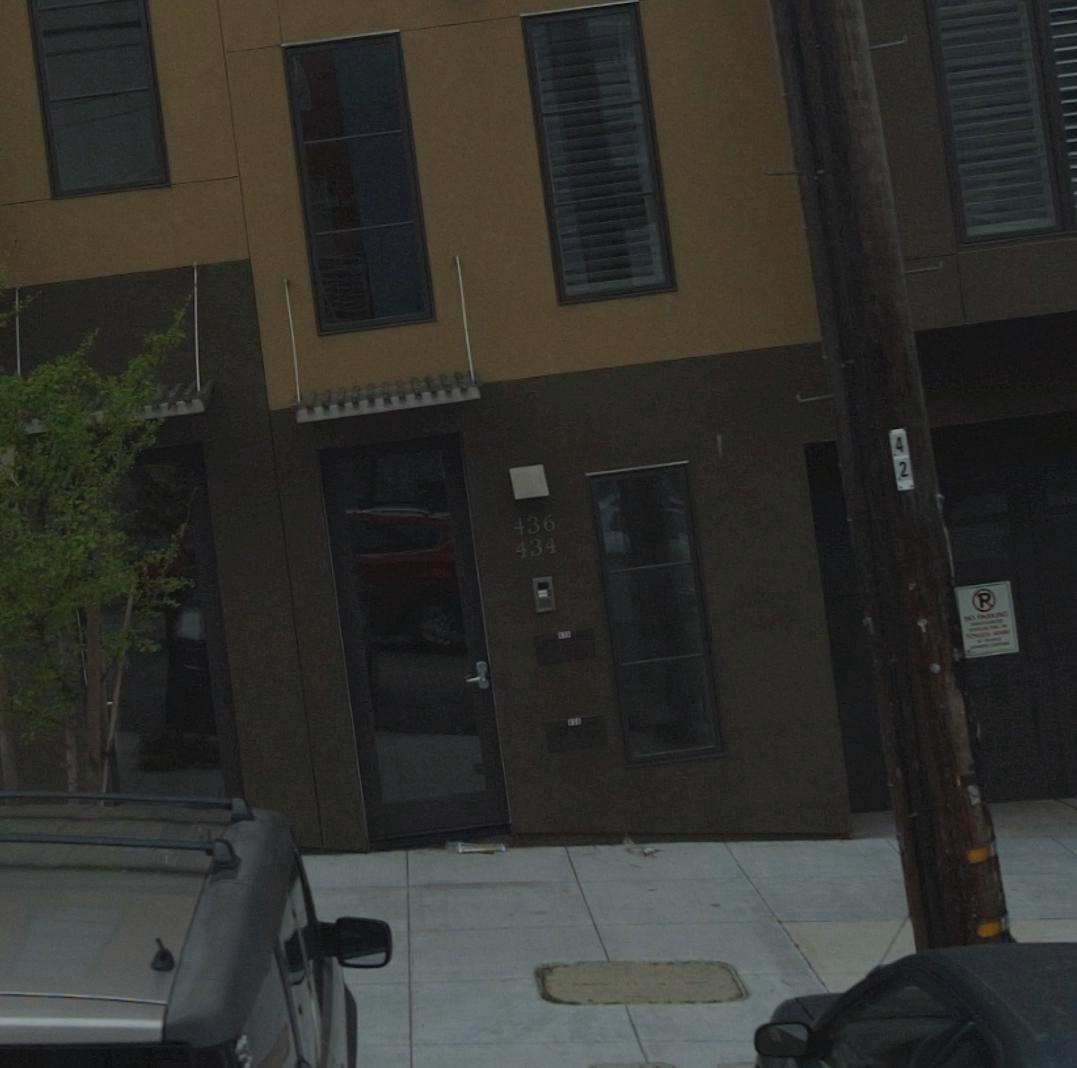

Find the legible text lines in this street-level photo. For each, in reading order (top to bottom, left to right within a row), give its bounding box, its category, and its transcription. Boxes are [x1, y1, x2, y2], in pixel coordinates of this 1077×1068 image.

[890, 433, 912, 479] None: 42
[511, 512, 559, 538] StreetNumber: 436
[514, 535, 560, 560] StreetNumber: 434